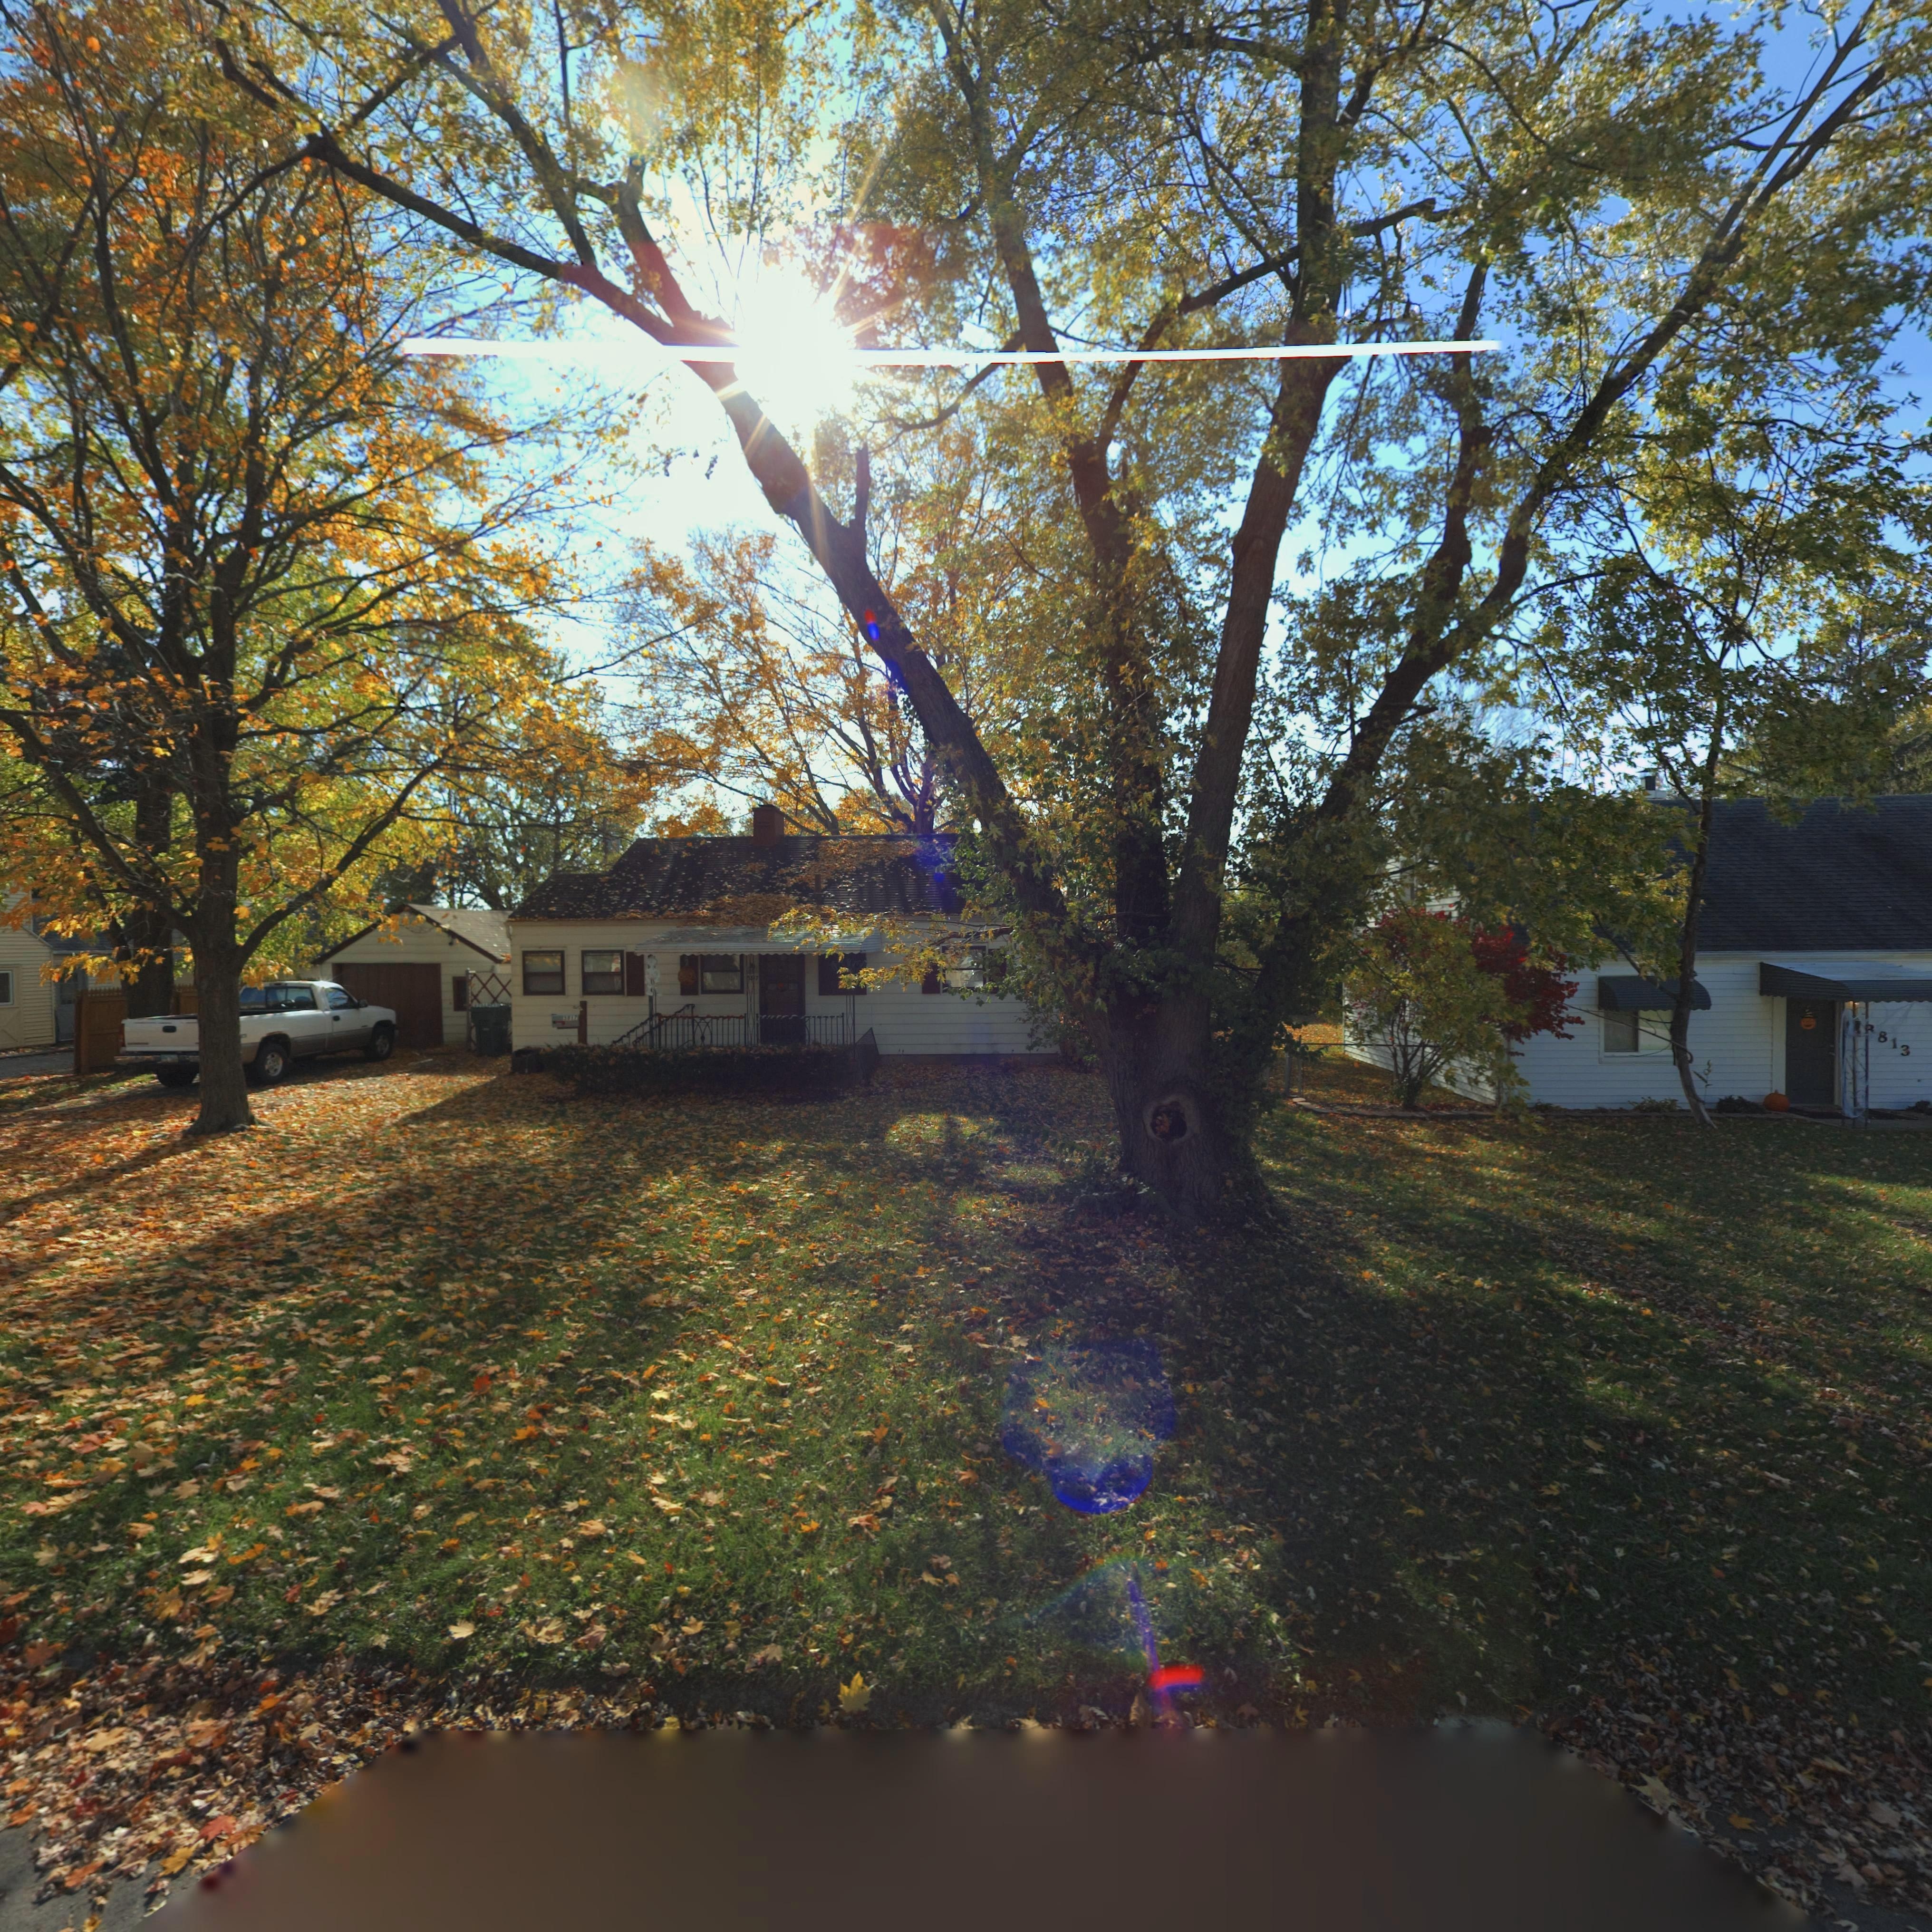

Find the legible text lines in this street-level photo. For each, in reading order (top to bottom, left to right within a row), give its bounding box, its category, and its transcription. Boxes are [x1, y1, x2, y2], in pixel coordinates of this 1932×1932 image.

[754, 975, 760, 982] StreetNumber: 7
[563, 1014, 578, 1021] StreetNumber: **17
[1876, 1029, 1912, 1058] StreetNumber: 813